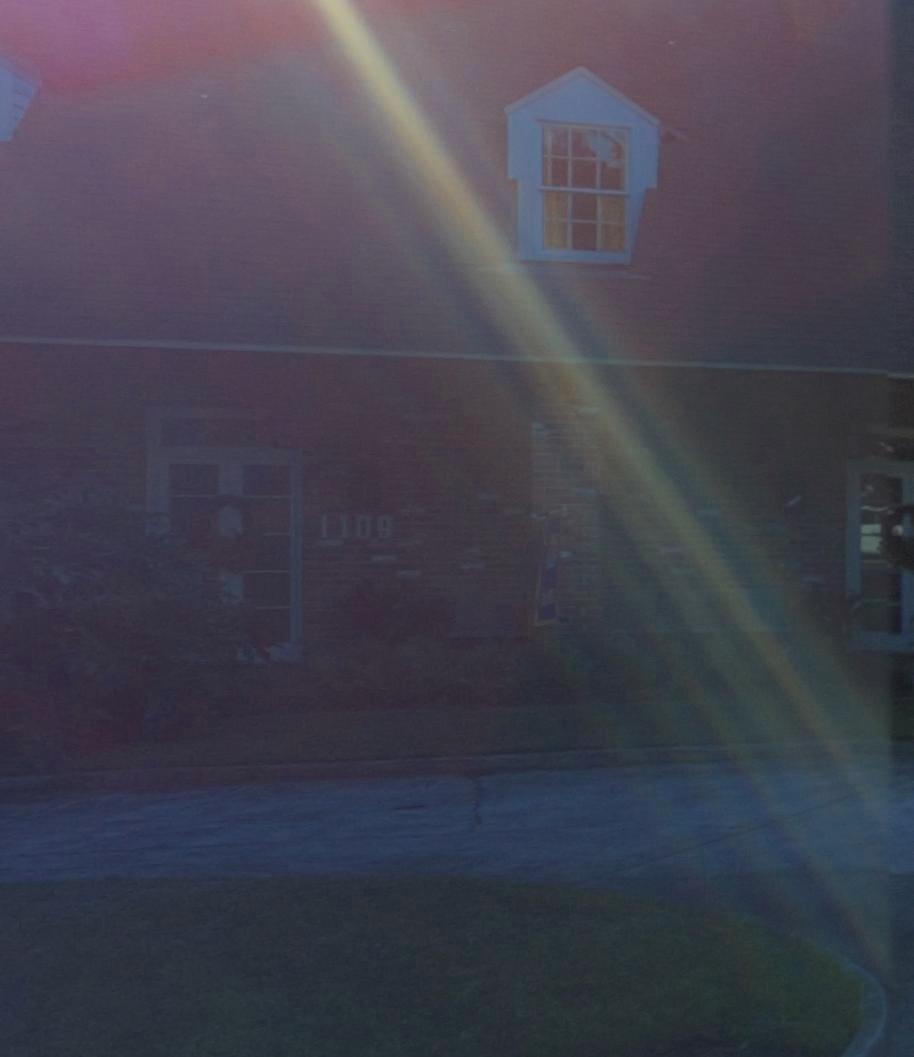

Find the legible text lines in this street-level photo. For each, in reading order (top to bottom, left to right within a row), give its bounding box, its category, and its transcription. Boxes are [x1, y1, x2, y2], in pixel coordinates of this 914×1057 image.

[317, 512, 395, 542] StreetNumber: 1109